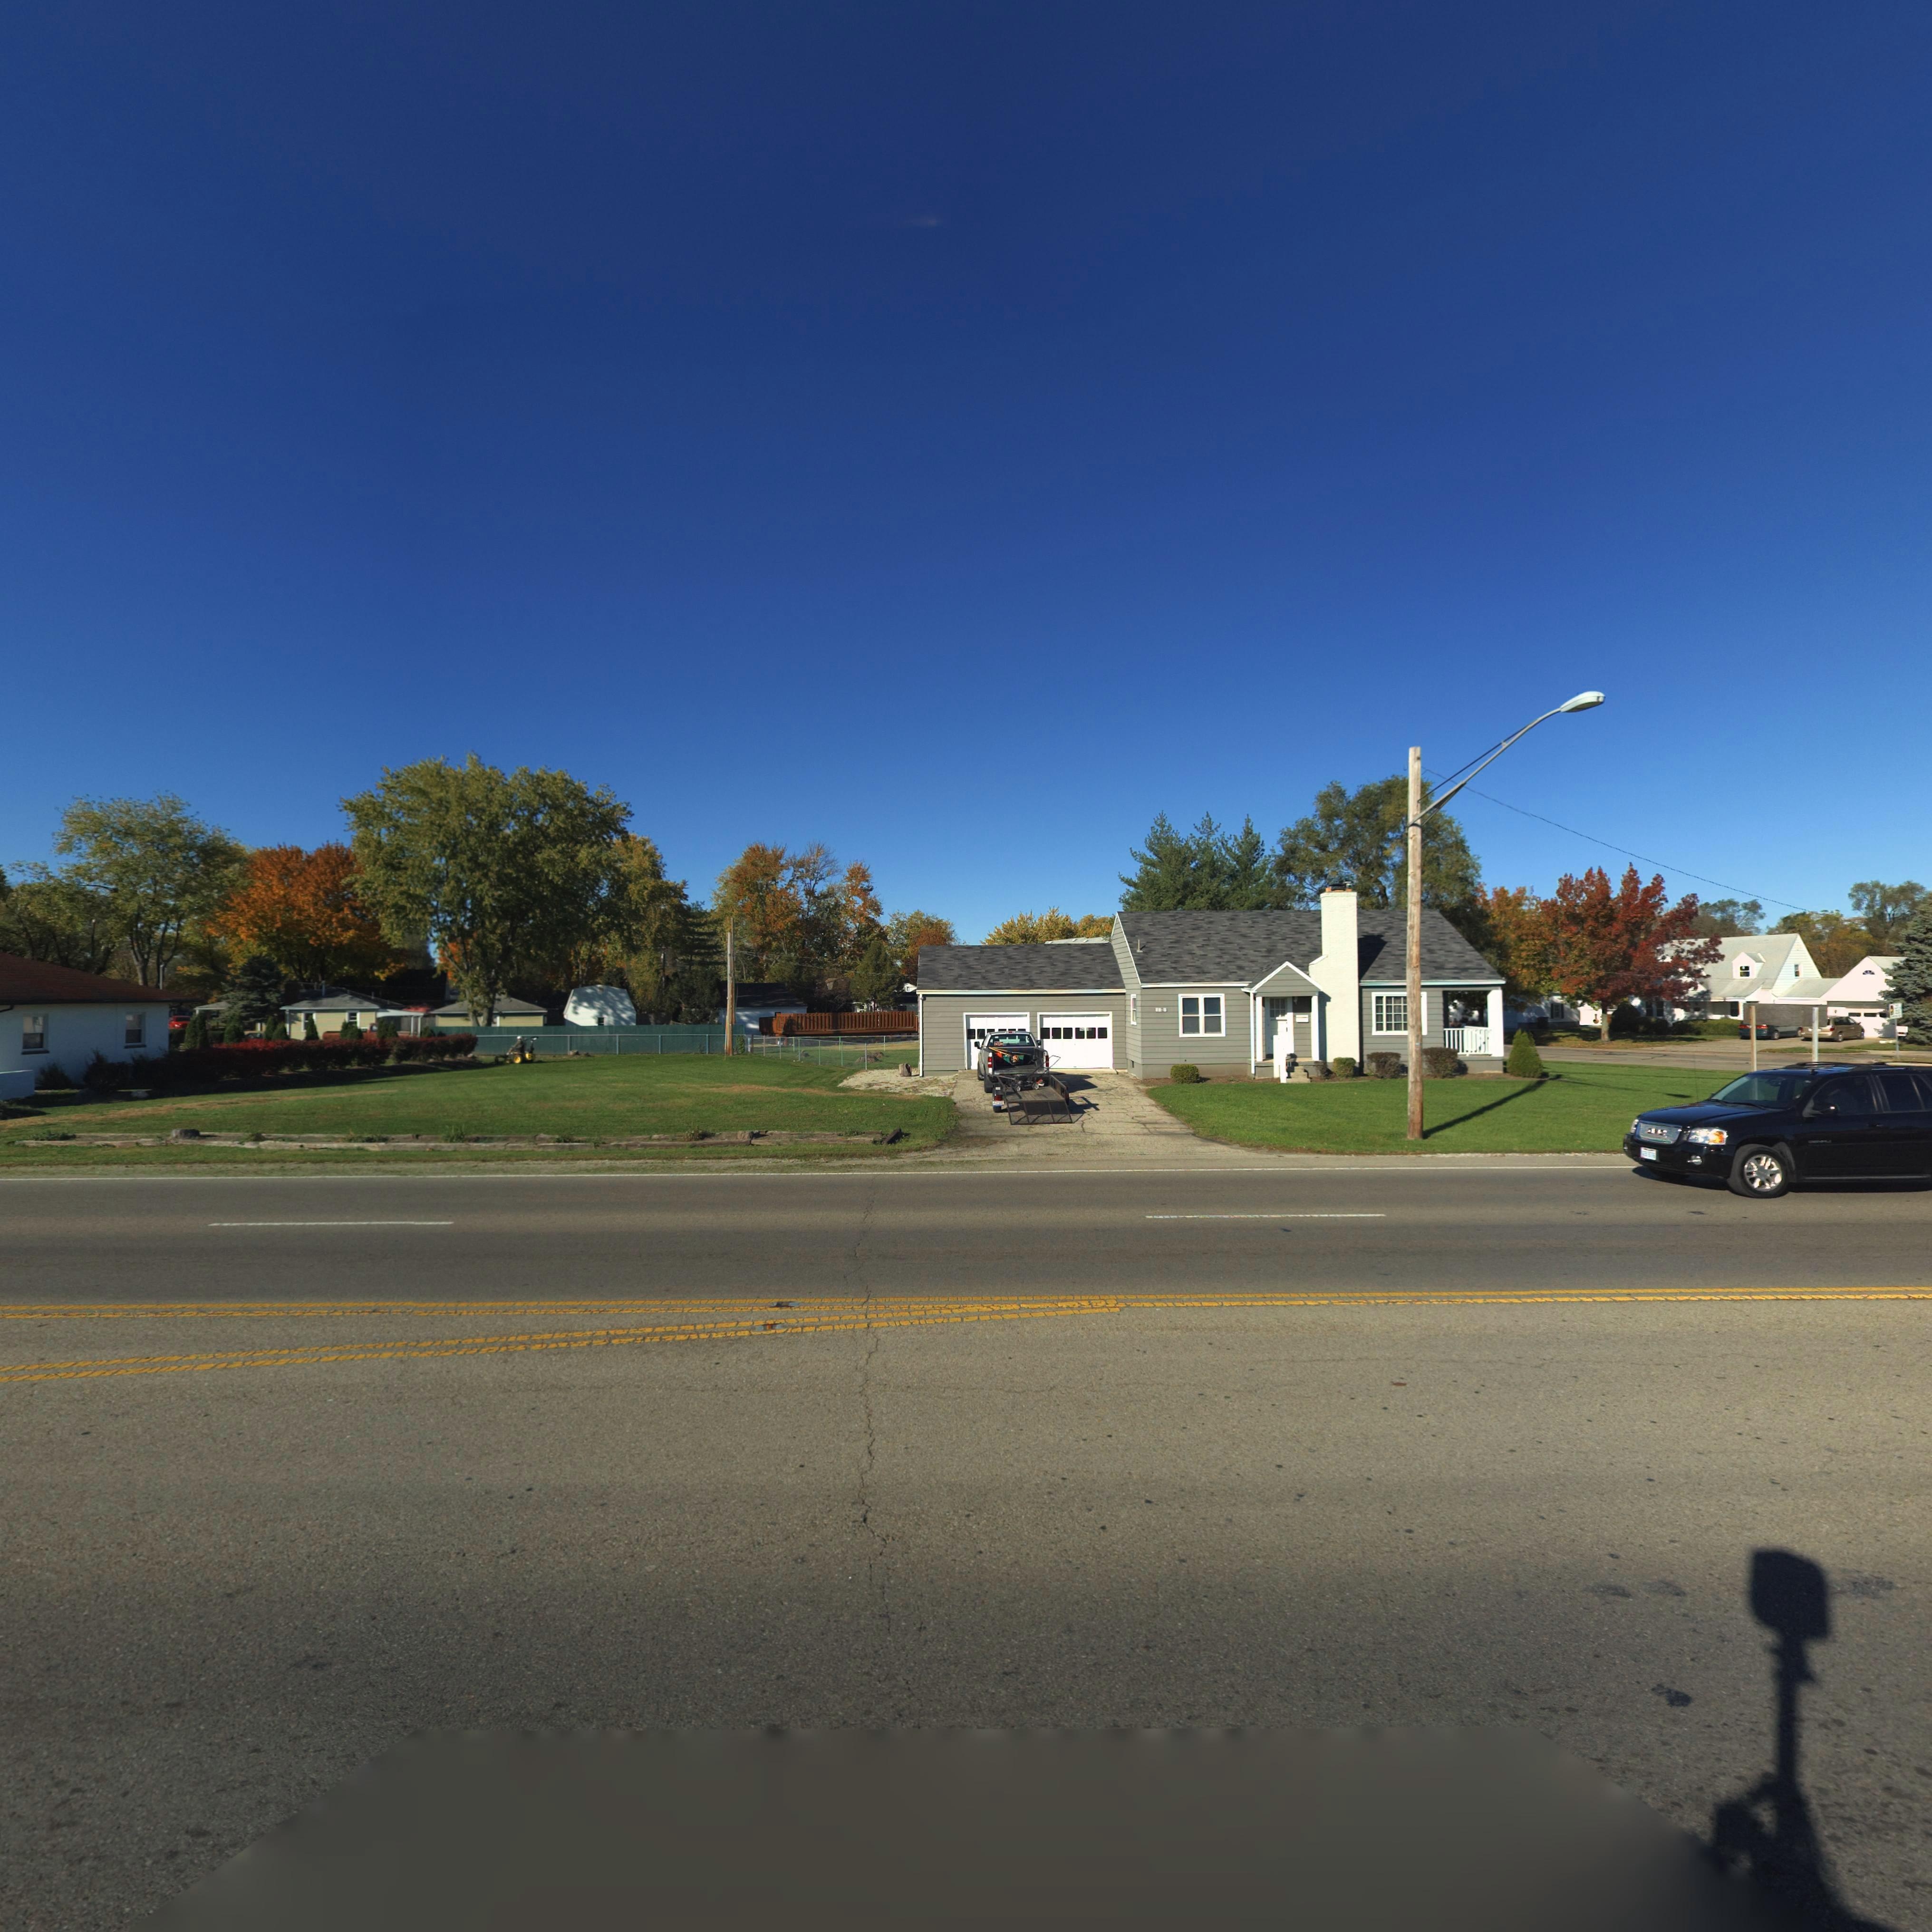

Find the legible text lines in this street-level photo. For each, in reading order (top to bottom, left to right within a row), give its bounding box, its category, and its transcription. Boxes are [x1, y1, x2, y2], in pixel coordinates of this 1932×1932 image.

[1157, 1007, 1164, 1012] StreetNumber: 1*